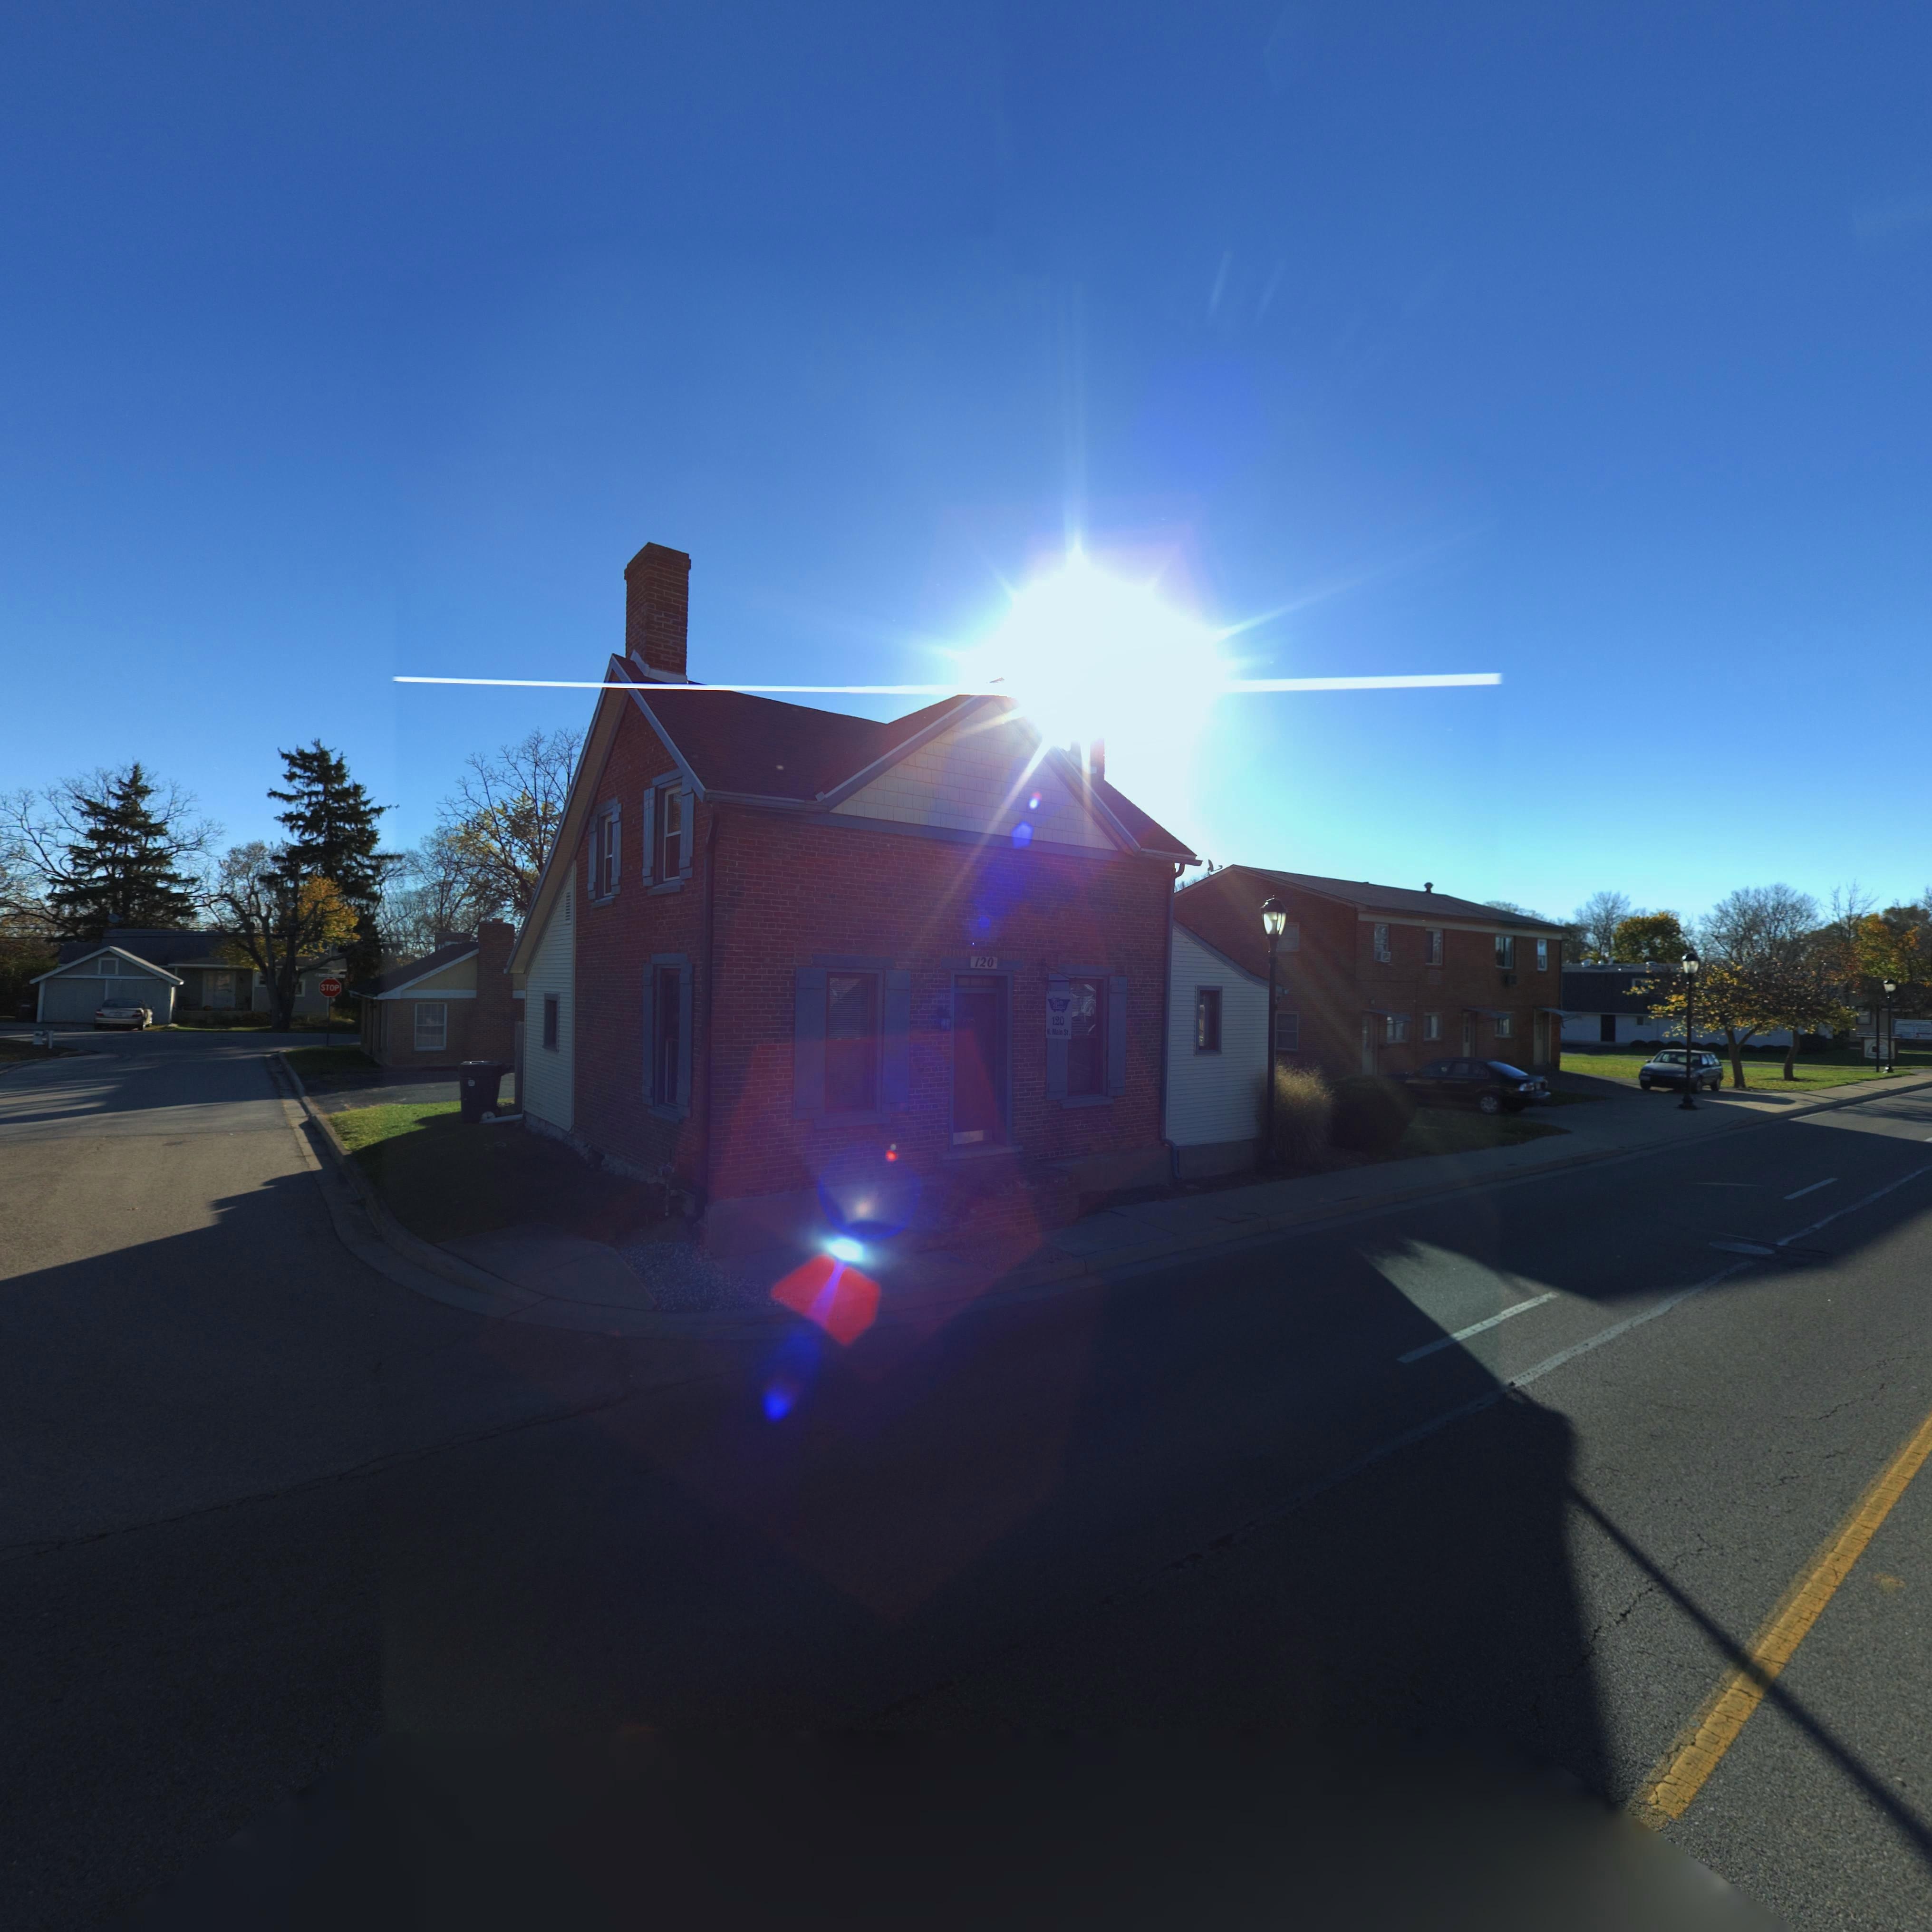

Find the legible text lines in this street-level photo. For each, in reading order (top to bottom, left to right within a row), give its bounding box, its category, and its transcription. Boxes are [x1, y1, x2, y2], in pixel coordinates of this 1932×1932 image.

[974, 956, 995, 968] StreetNumber: 120
[1051, 1015, 1064, 1026] StreetNumber: 120